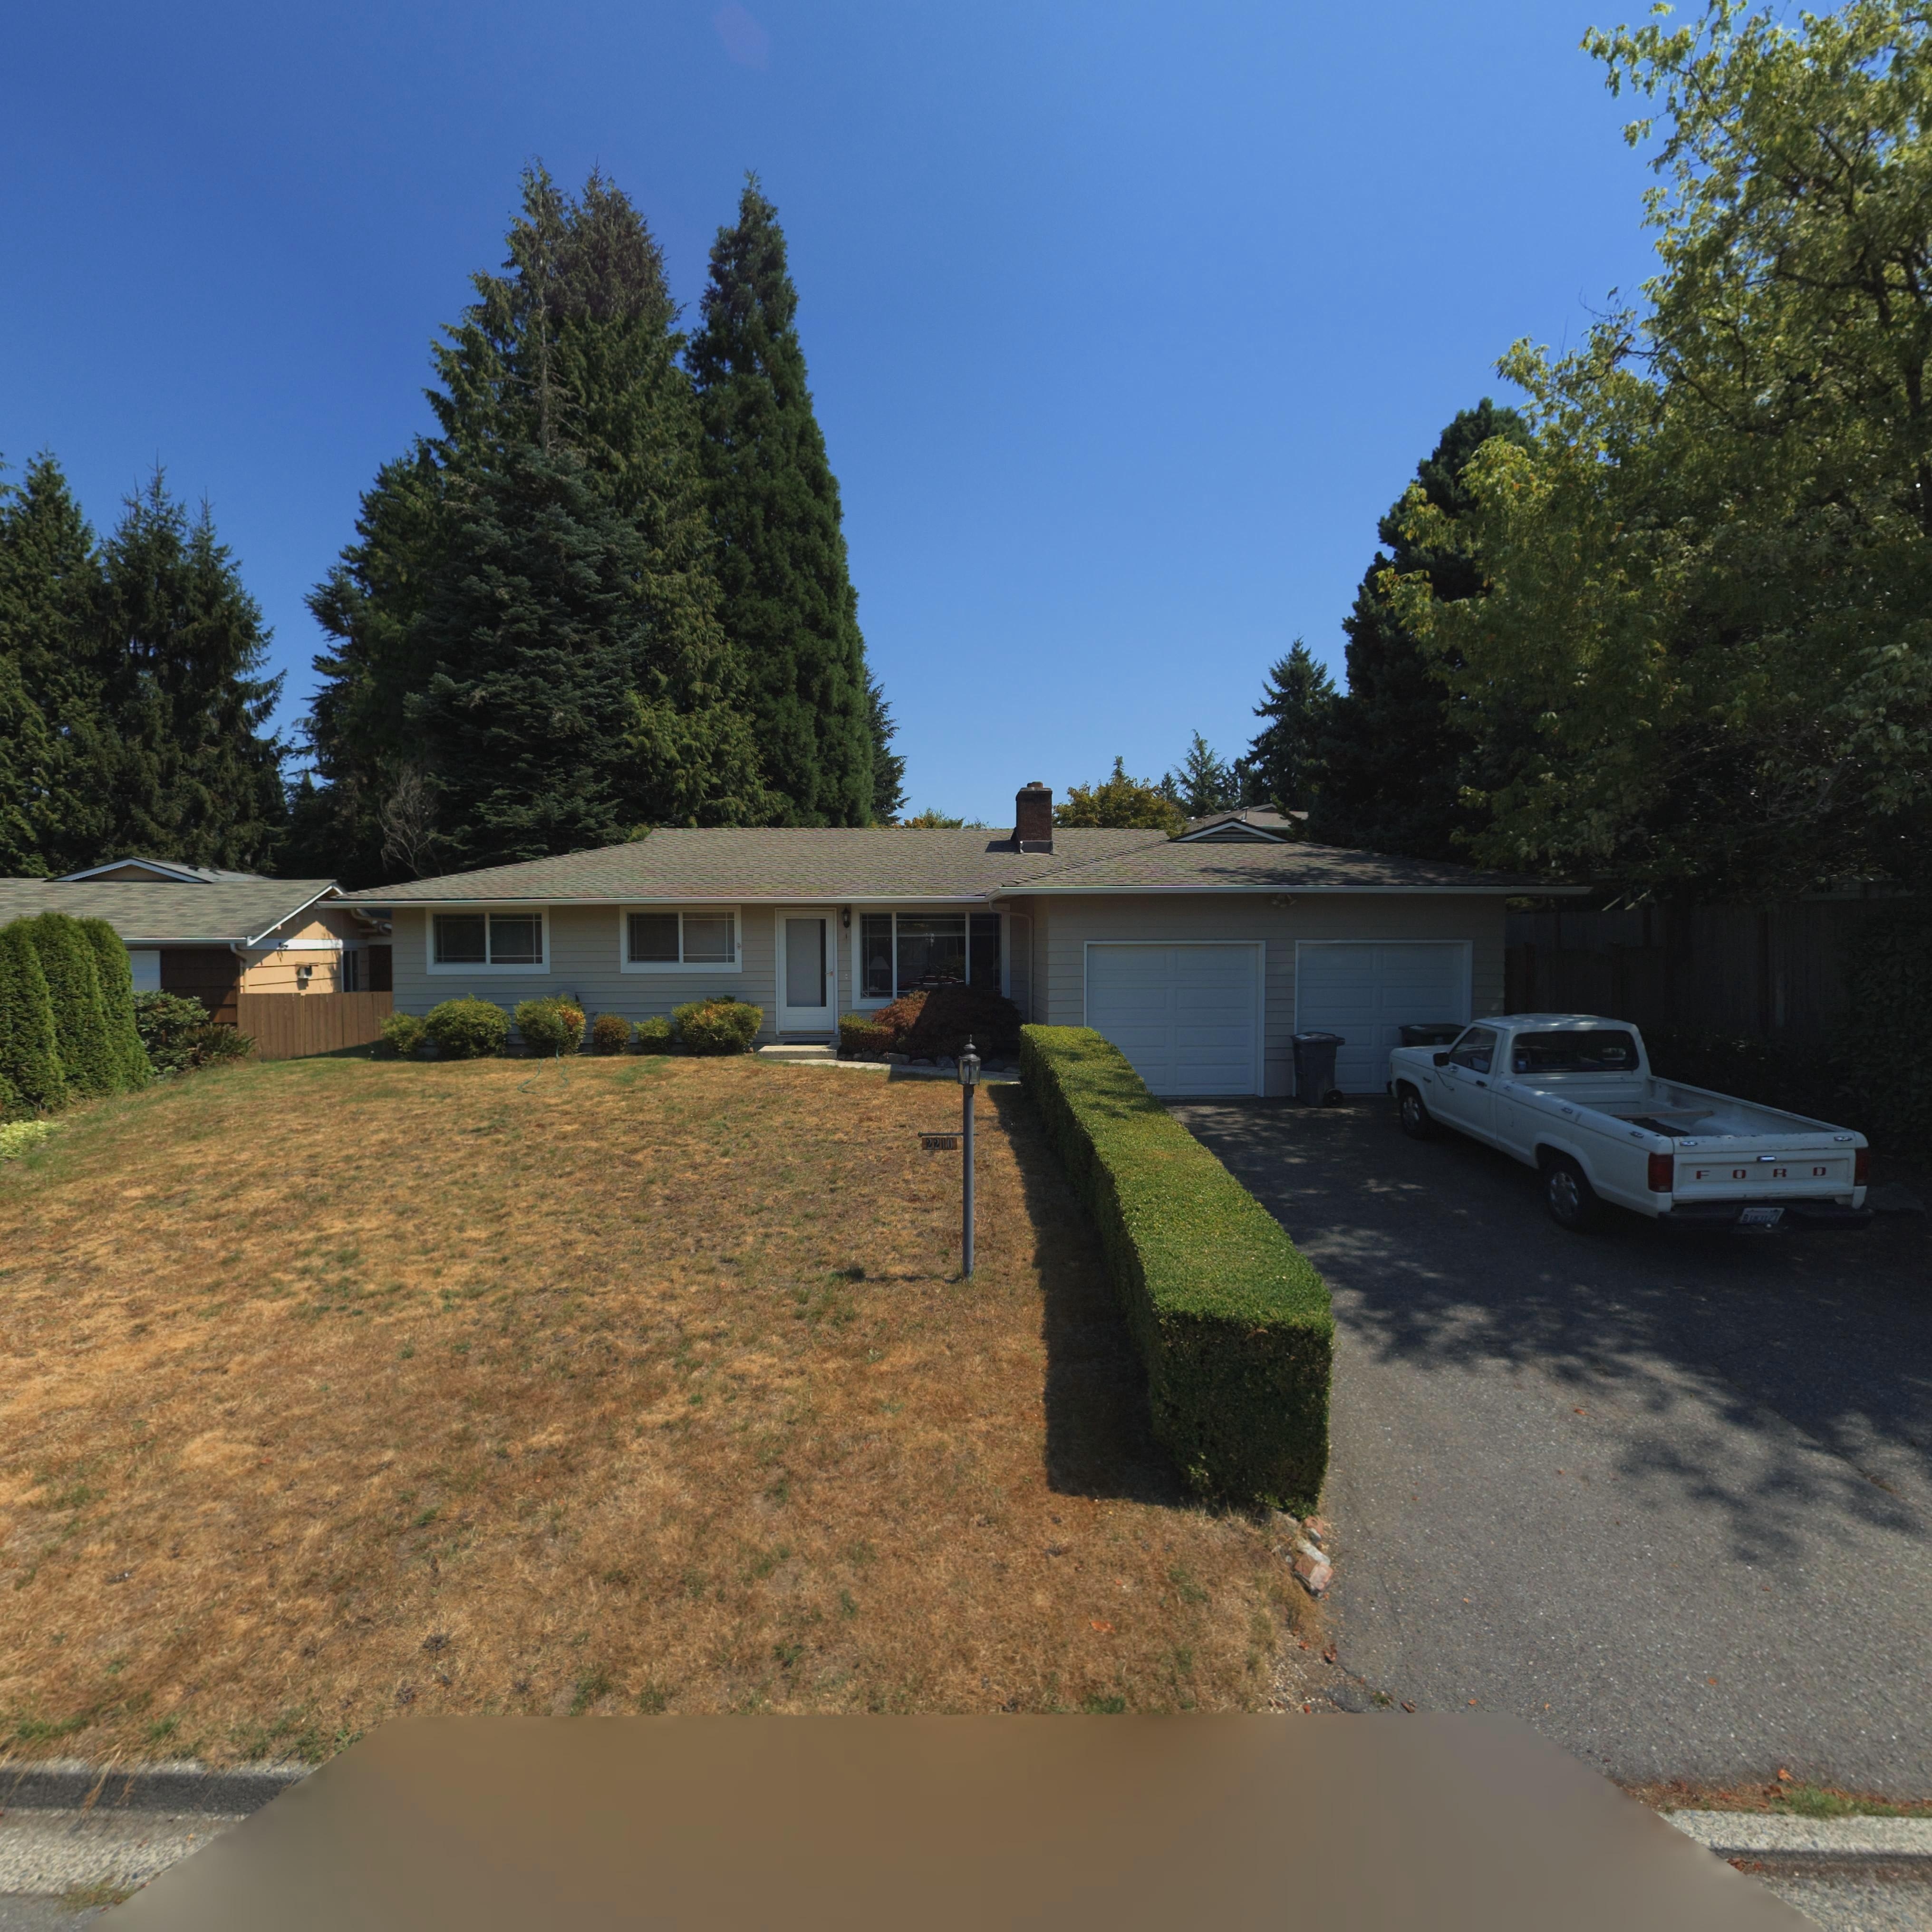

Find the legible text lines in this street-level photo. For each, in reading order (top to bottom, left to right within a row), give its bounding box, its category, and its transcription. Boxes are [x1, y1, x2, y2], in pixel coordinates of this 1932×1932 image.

[926, 1138, 955, 1150] StreetNumber: 2210